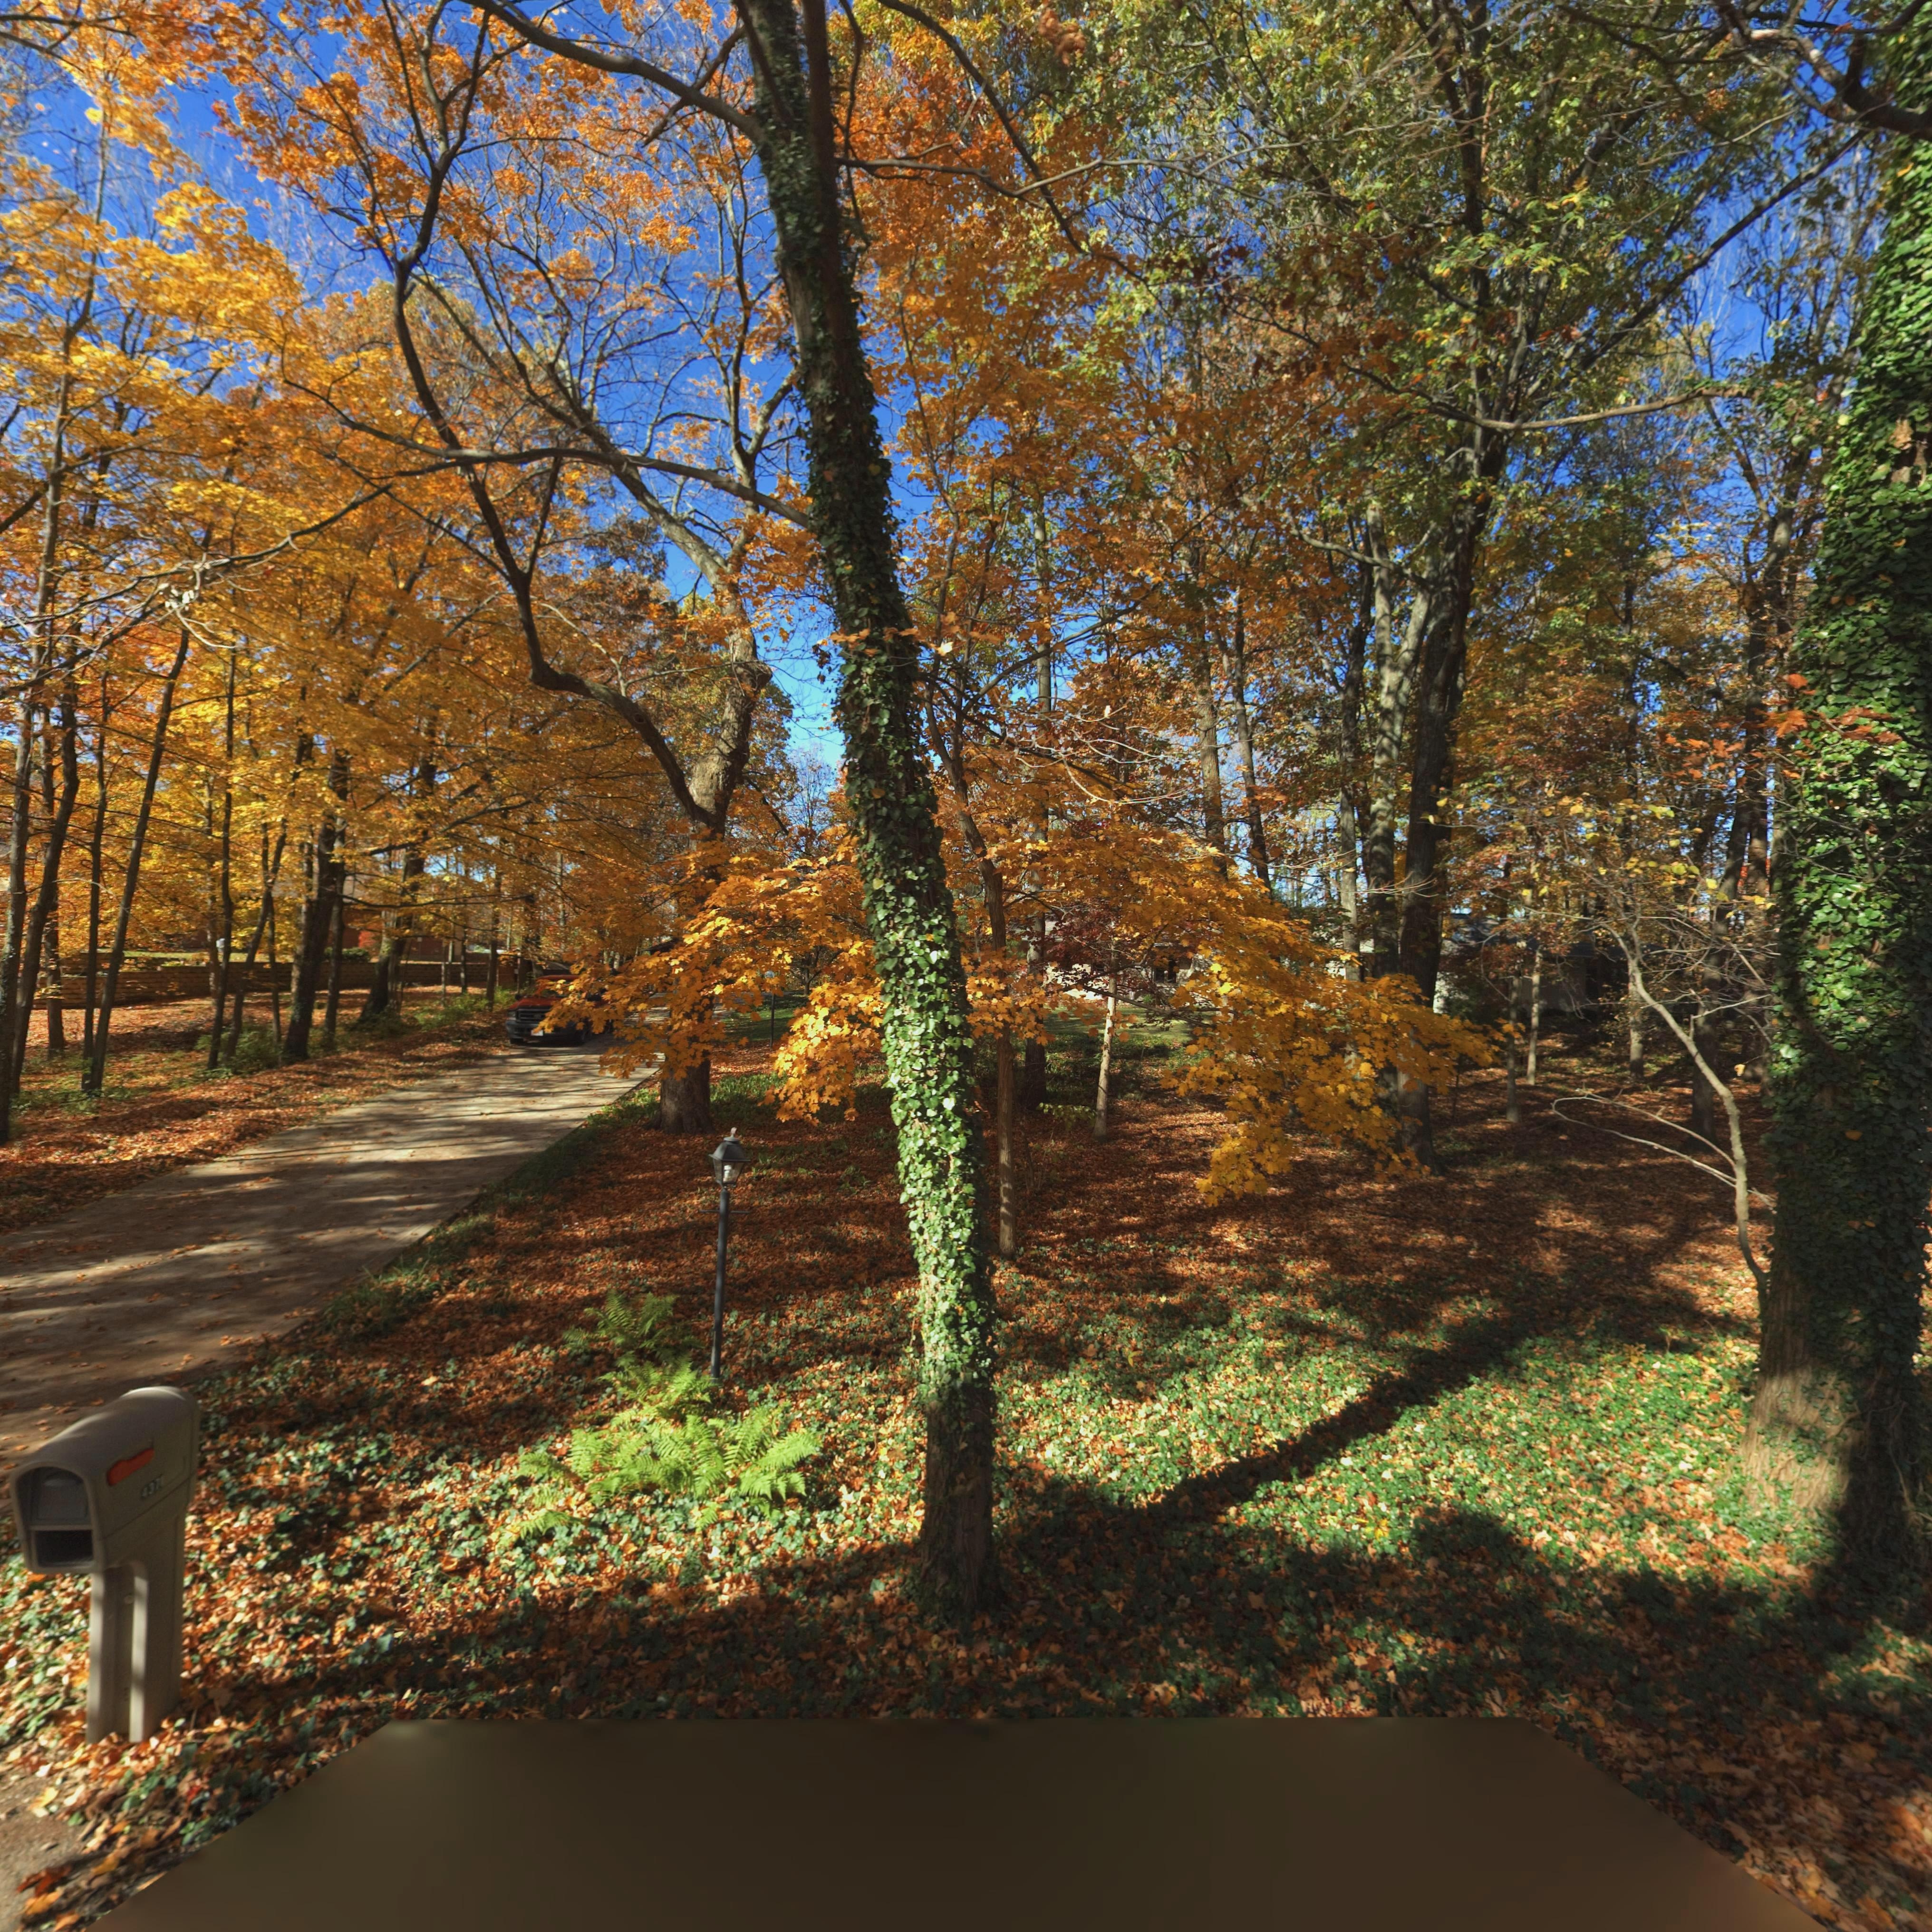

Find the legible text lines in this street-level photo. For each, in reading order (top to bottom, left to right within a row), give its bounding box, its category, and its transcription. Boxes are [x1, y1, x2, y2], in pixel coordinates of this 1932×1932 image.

[140, 1472, 166, 1500] StreetNumber: 4371